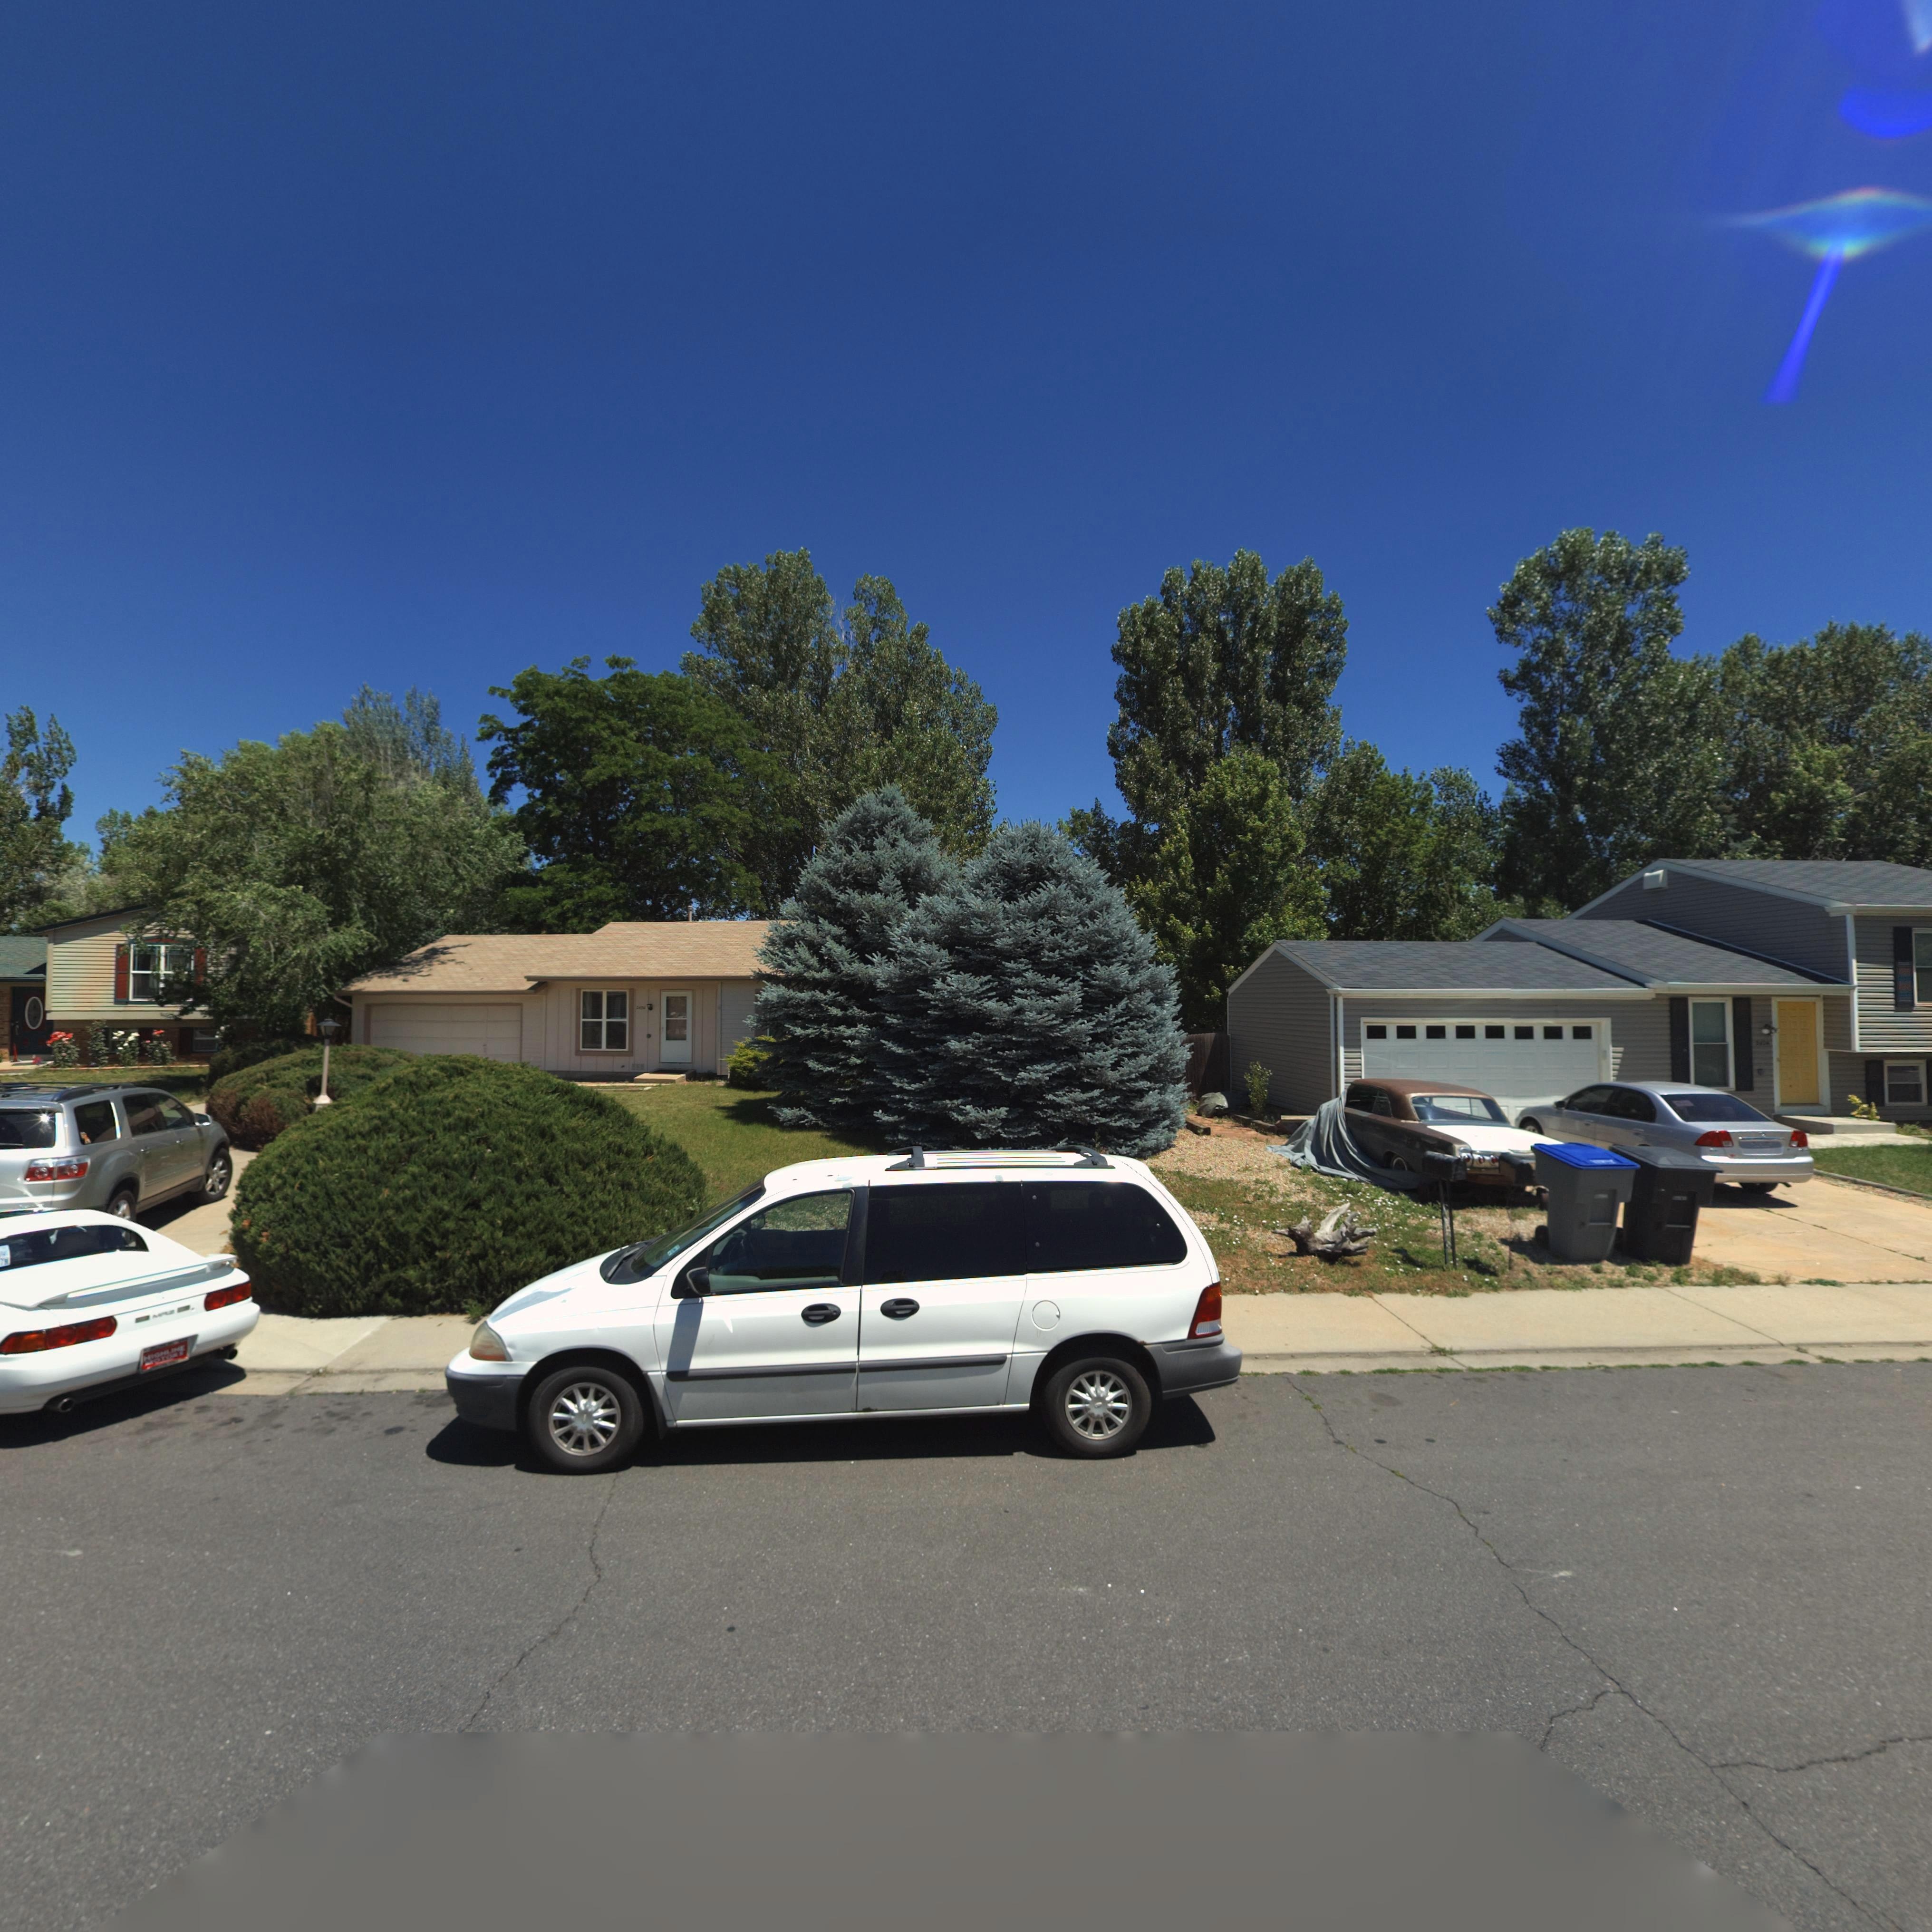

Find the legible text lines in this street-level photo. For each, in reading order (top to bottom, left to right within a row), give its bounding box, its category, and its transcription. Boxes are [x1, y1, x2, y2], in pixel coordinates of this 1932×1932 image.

[636, 1005, 646, 1009] StreetNumber: 2430
[1755, 1040, 1769, 1045] StreetNumber: 2424